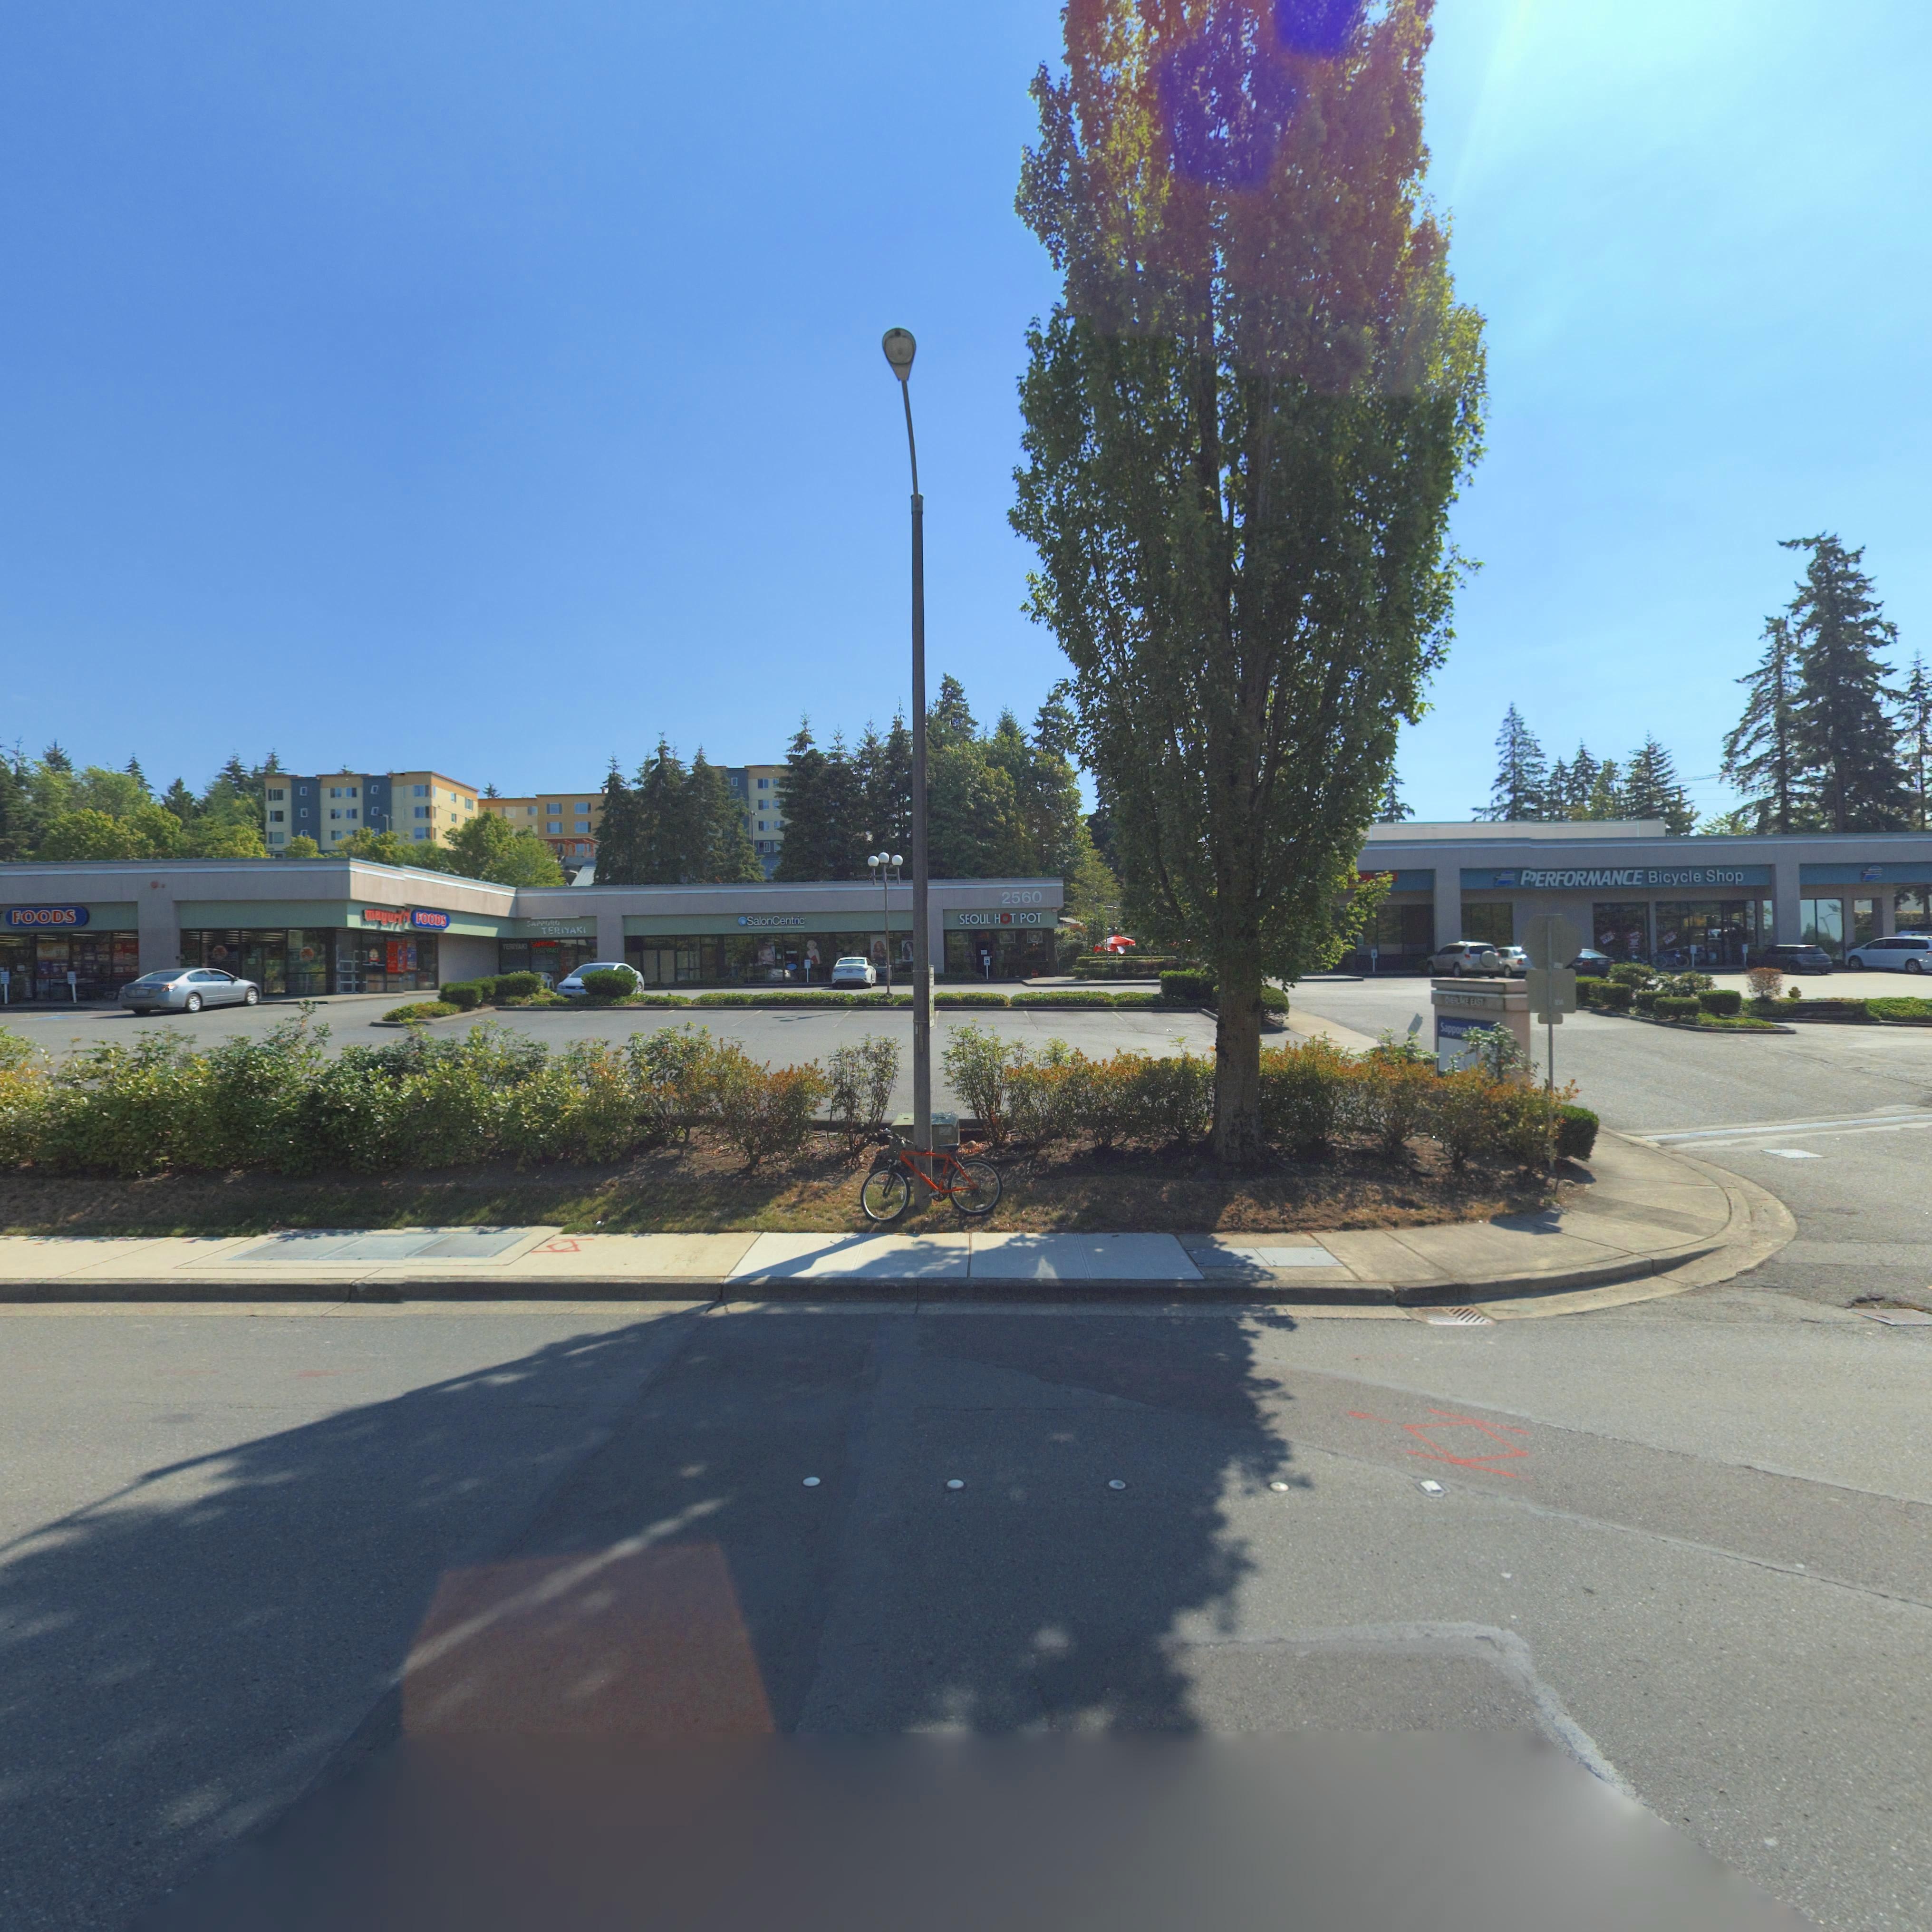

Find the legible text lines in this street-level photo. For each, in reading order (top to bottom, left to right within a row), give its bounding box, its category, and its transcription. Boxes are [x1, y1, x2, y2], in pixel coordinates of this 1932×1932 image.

[1517, 869, 1743, 886] BusinessName: P*ERFORMANCE Bicycle Shop
[1001, 890, 1042, 904] StreetNumber: 2560
[12, 910, 76, 923] BusinessName: FOODS
[364, 908, 403, 926] BusinessName: m***r*
[416, 912, 447, 927] BusinessName: FOODS
[526, 920, 560, 927] BusinessName: SAPPORO
[541, 926, 587, 935] None: TERIYAKI
[746, 916, 805, 926] BusinessName: SalonCentric
[959, 912, 1042, 925] BusinessName: SEOUL HOT POT
[1440, 1021, 1460, 1037] BusinessName: Sappo